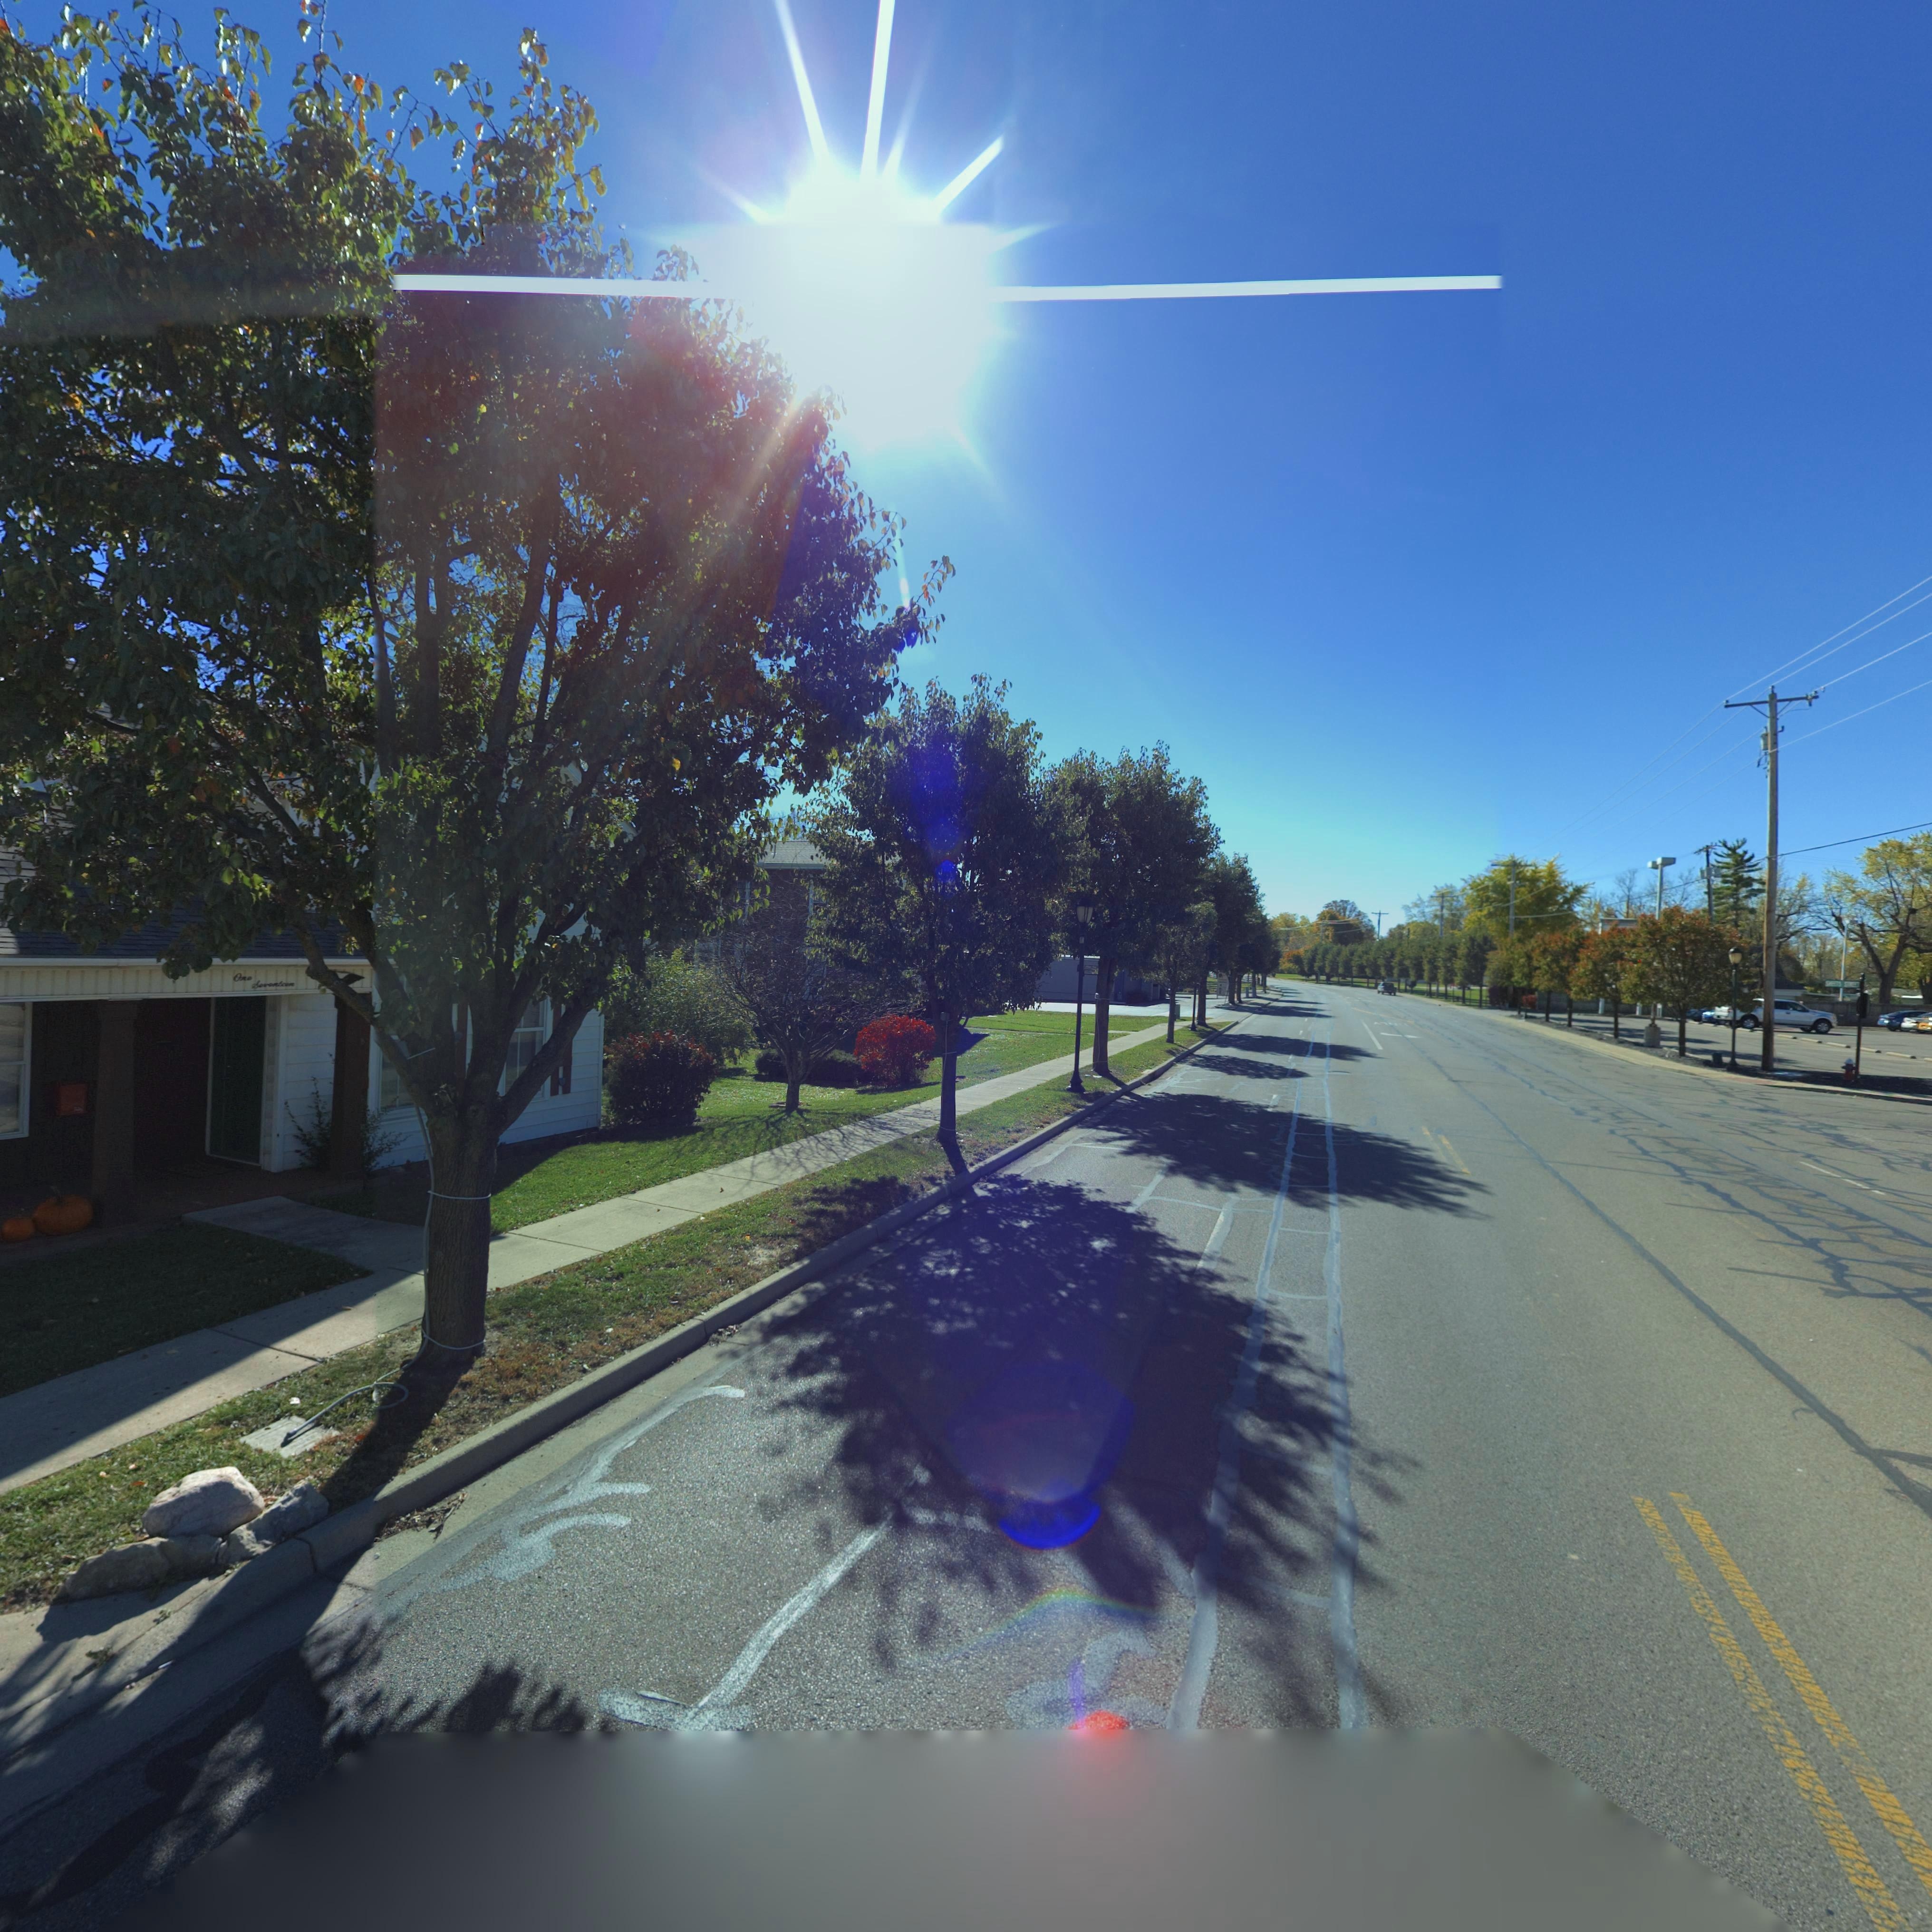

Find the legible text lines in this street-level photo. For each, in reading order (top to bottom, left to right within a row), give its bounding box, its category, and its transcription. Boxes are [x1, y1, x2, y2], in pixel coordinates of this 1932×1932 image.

[232, 972, 253, 982] StreetNumber: One
[250, 980, 295, 989] StreetNumber: Seventeen